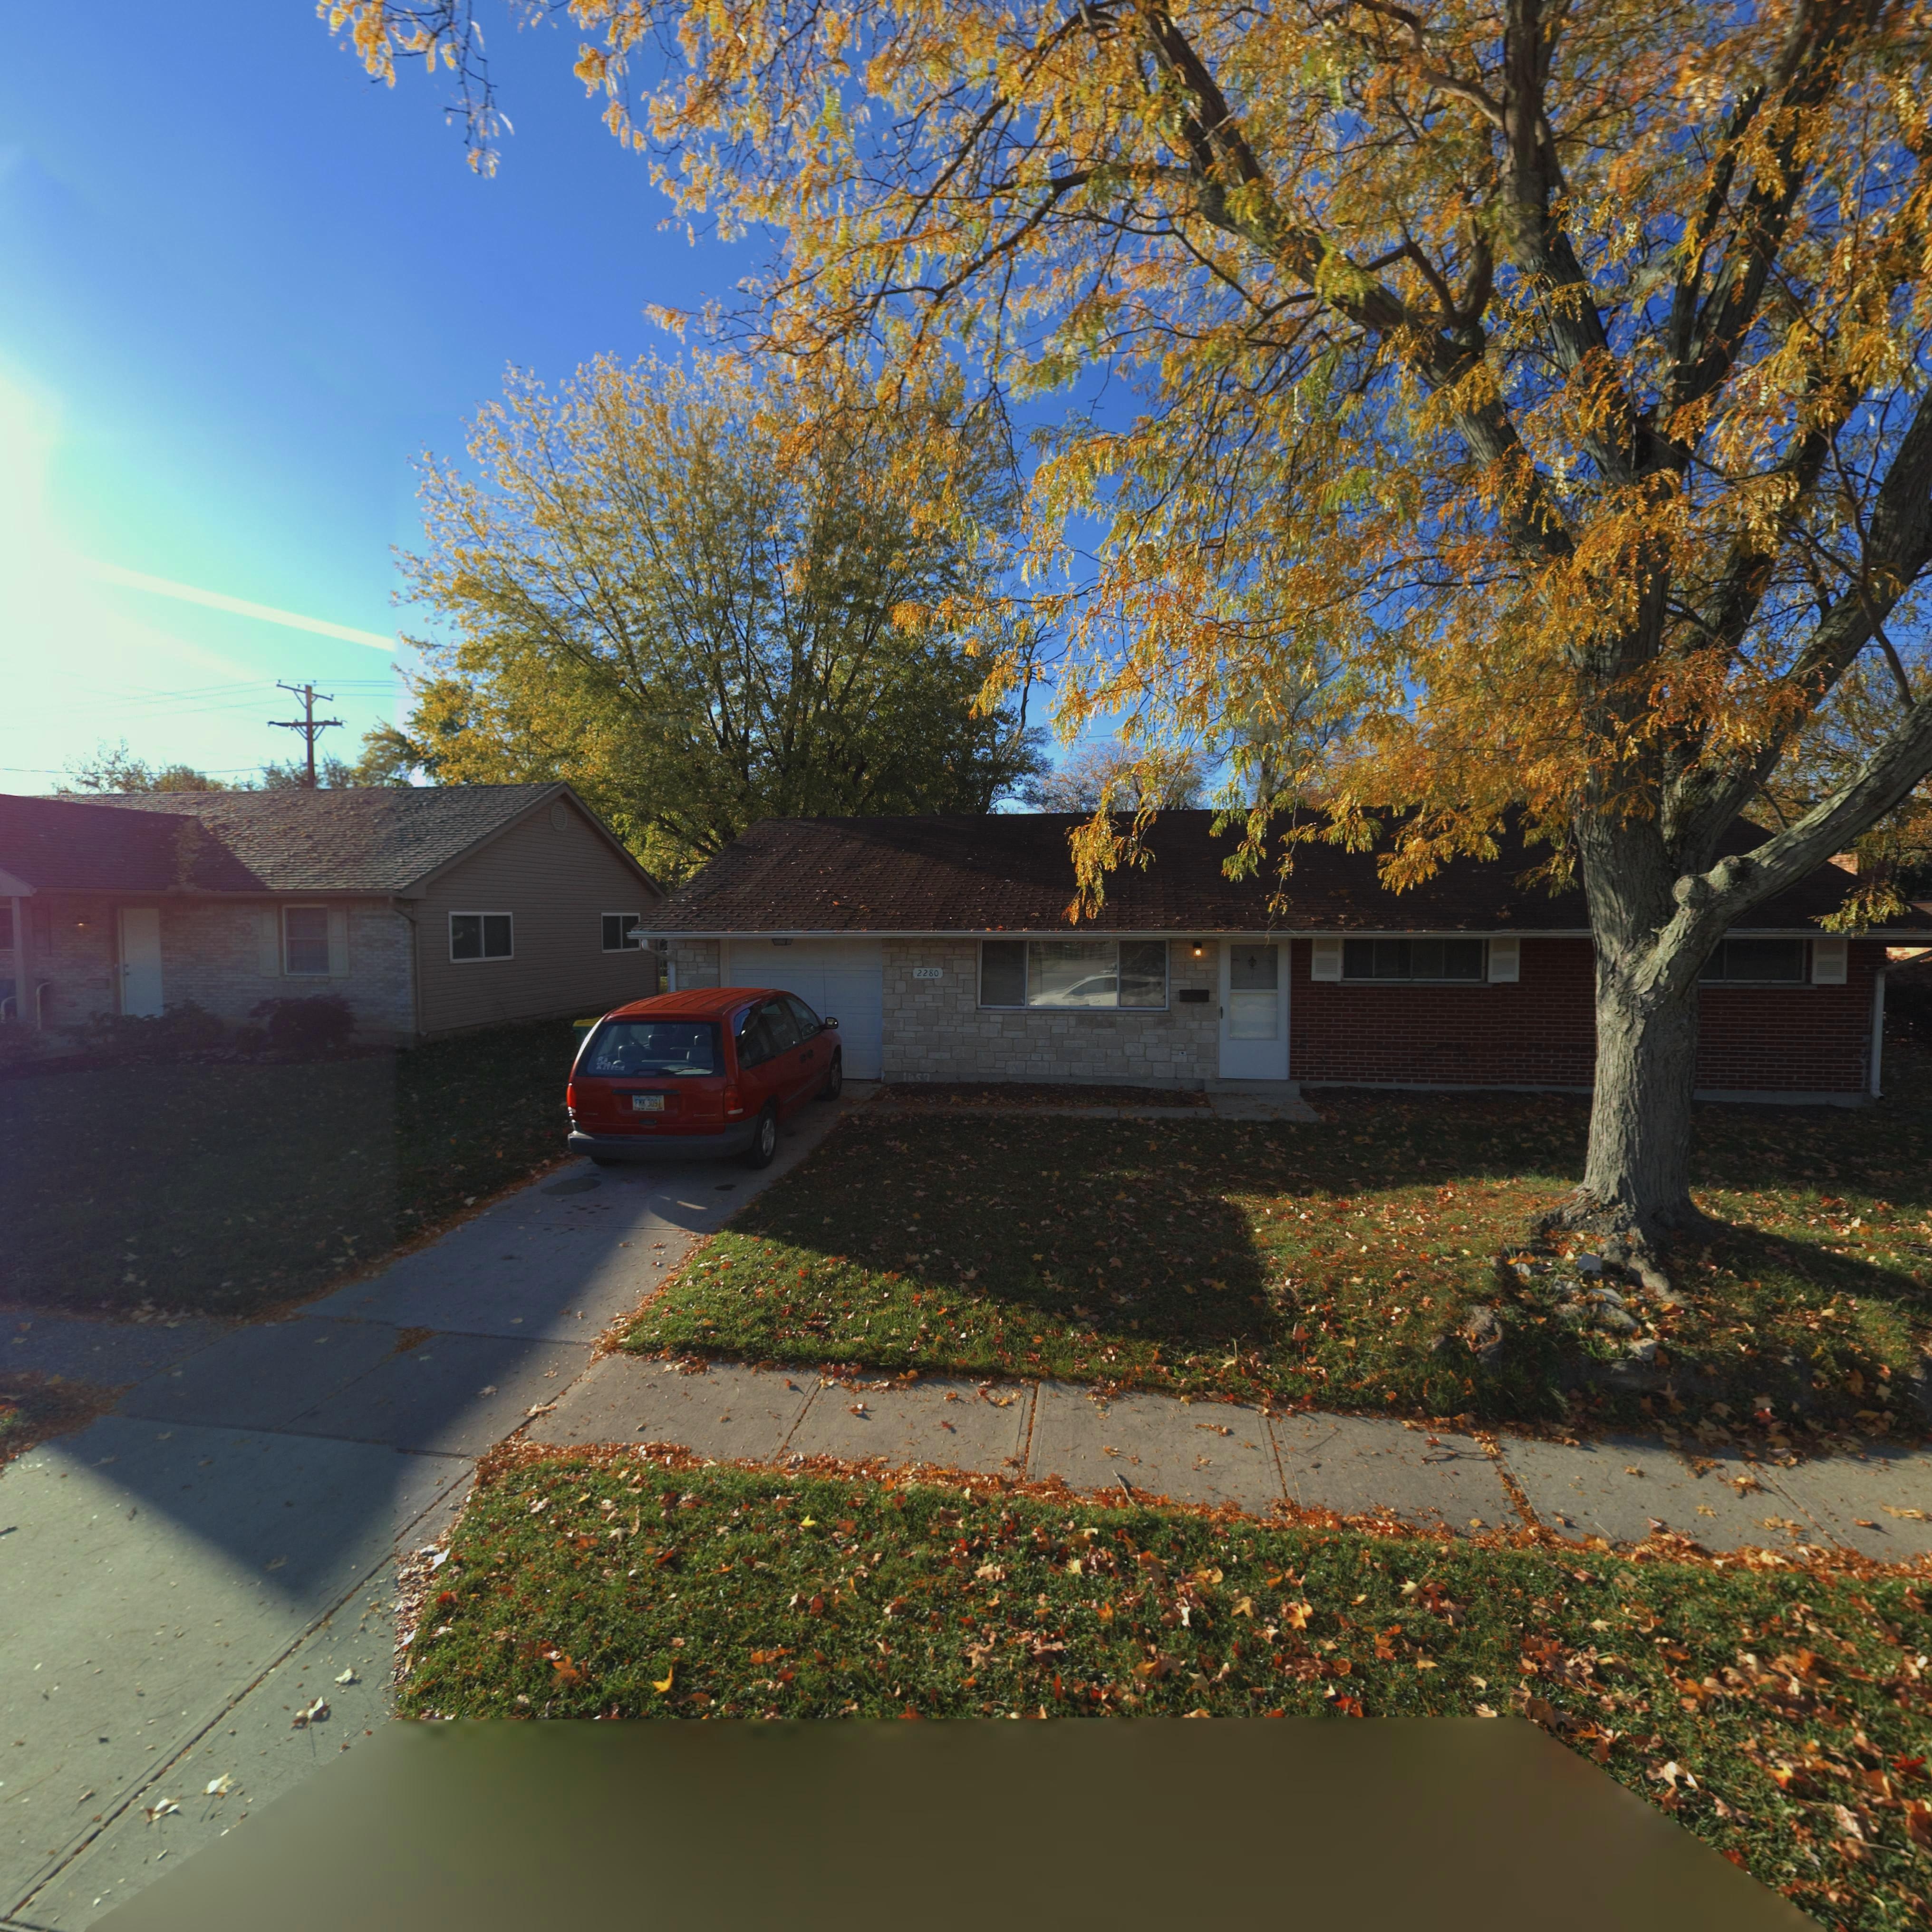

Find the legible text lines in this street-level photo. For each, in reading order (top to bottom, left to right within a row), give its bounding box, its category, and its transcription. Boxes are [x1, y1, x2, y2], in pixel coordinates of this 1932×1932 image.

[916, 968, 939, 977] StreetNumber: 2280